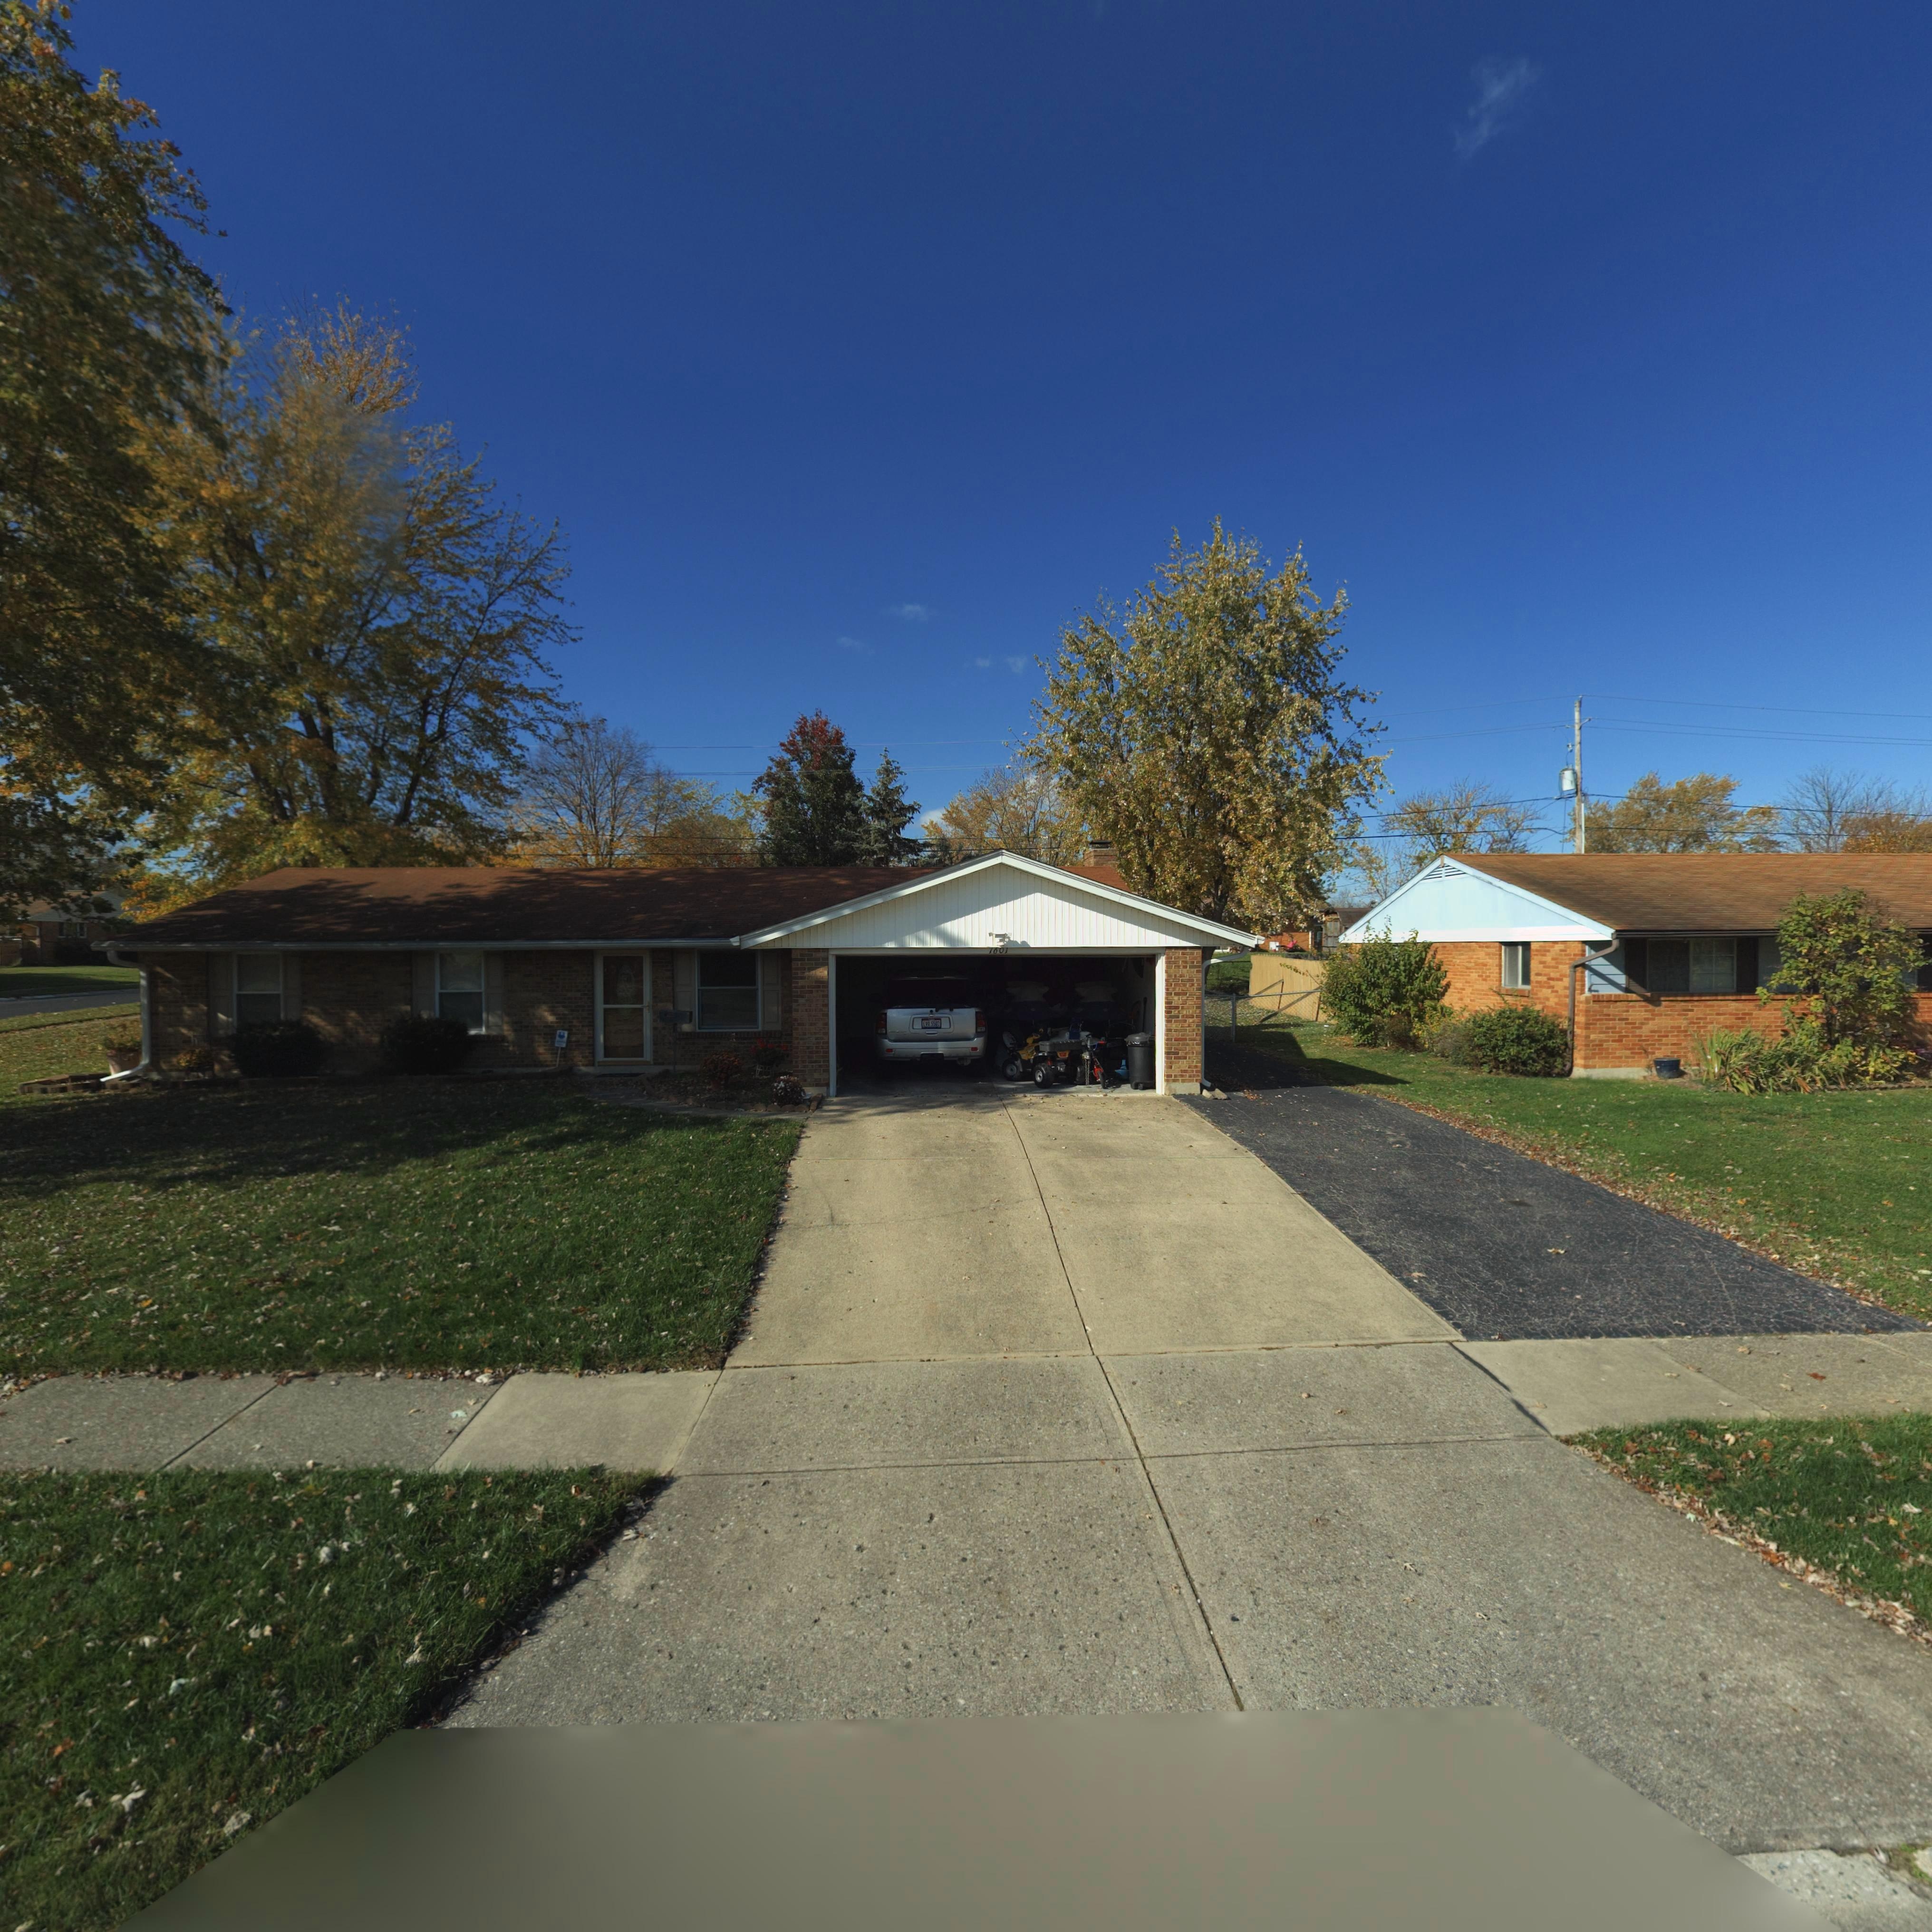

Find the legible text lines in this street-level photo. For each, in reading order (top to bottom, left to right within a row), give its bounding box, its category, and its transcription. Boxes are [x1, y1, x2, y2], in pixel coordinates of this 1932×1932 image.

[987, 946, 1009, 955] StreetNumber: **0*